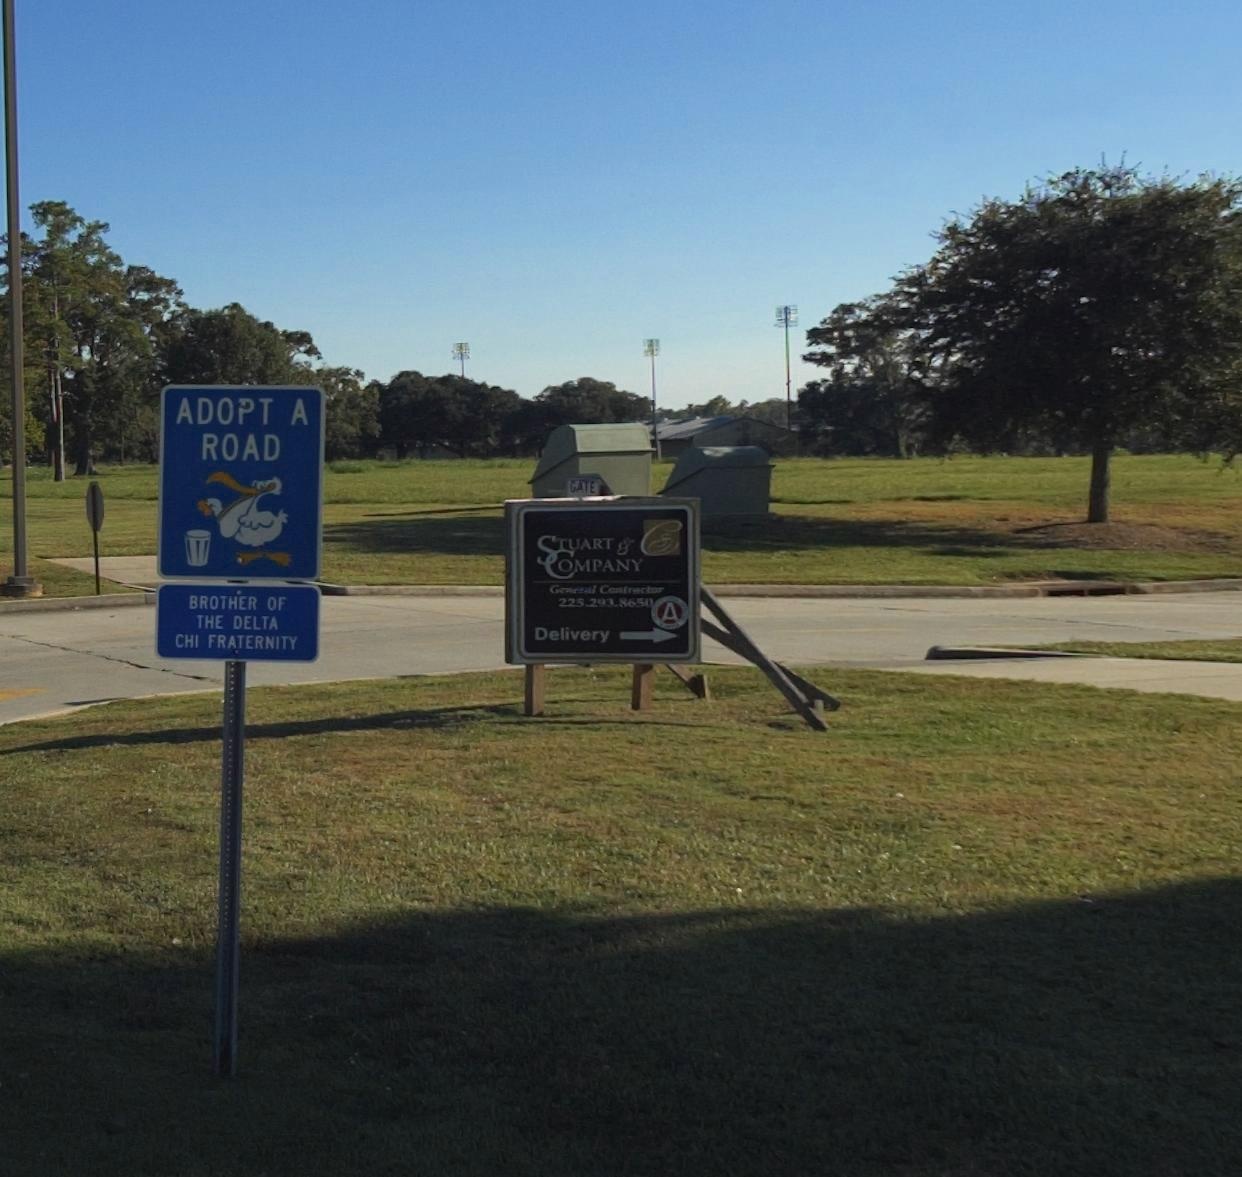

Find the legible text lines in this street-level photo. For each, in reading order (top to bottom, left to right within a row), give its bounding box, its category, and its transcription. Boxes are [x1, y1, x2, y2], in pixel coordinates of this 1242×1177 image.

[172, 395, 312, 428] None: ADOPT A
[200, 431, 283, 463] None: ROAD
[568, 479, 596, 494] None: GATE
[639, 518, 685, 558] None: C
[535, 533, 616, 567] BusinessName: STUART
[544, 548, 645, 580] BusinessName: COMPANY
[547, 583, 665, 595] None: General Contractor
[194, 612, 281, 633] None: THE DELTA
[187, 593, 290, 612] None: BROTHER OF
[557, 595, 655, 608] None: 225.293.8650
[660, 602, 679, 624] None: A
[174, 632, 300, 652] None: CHI FRATERNITY
[533, 625, 611, 646] None: Delivery